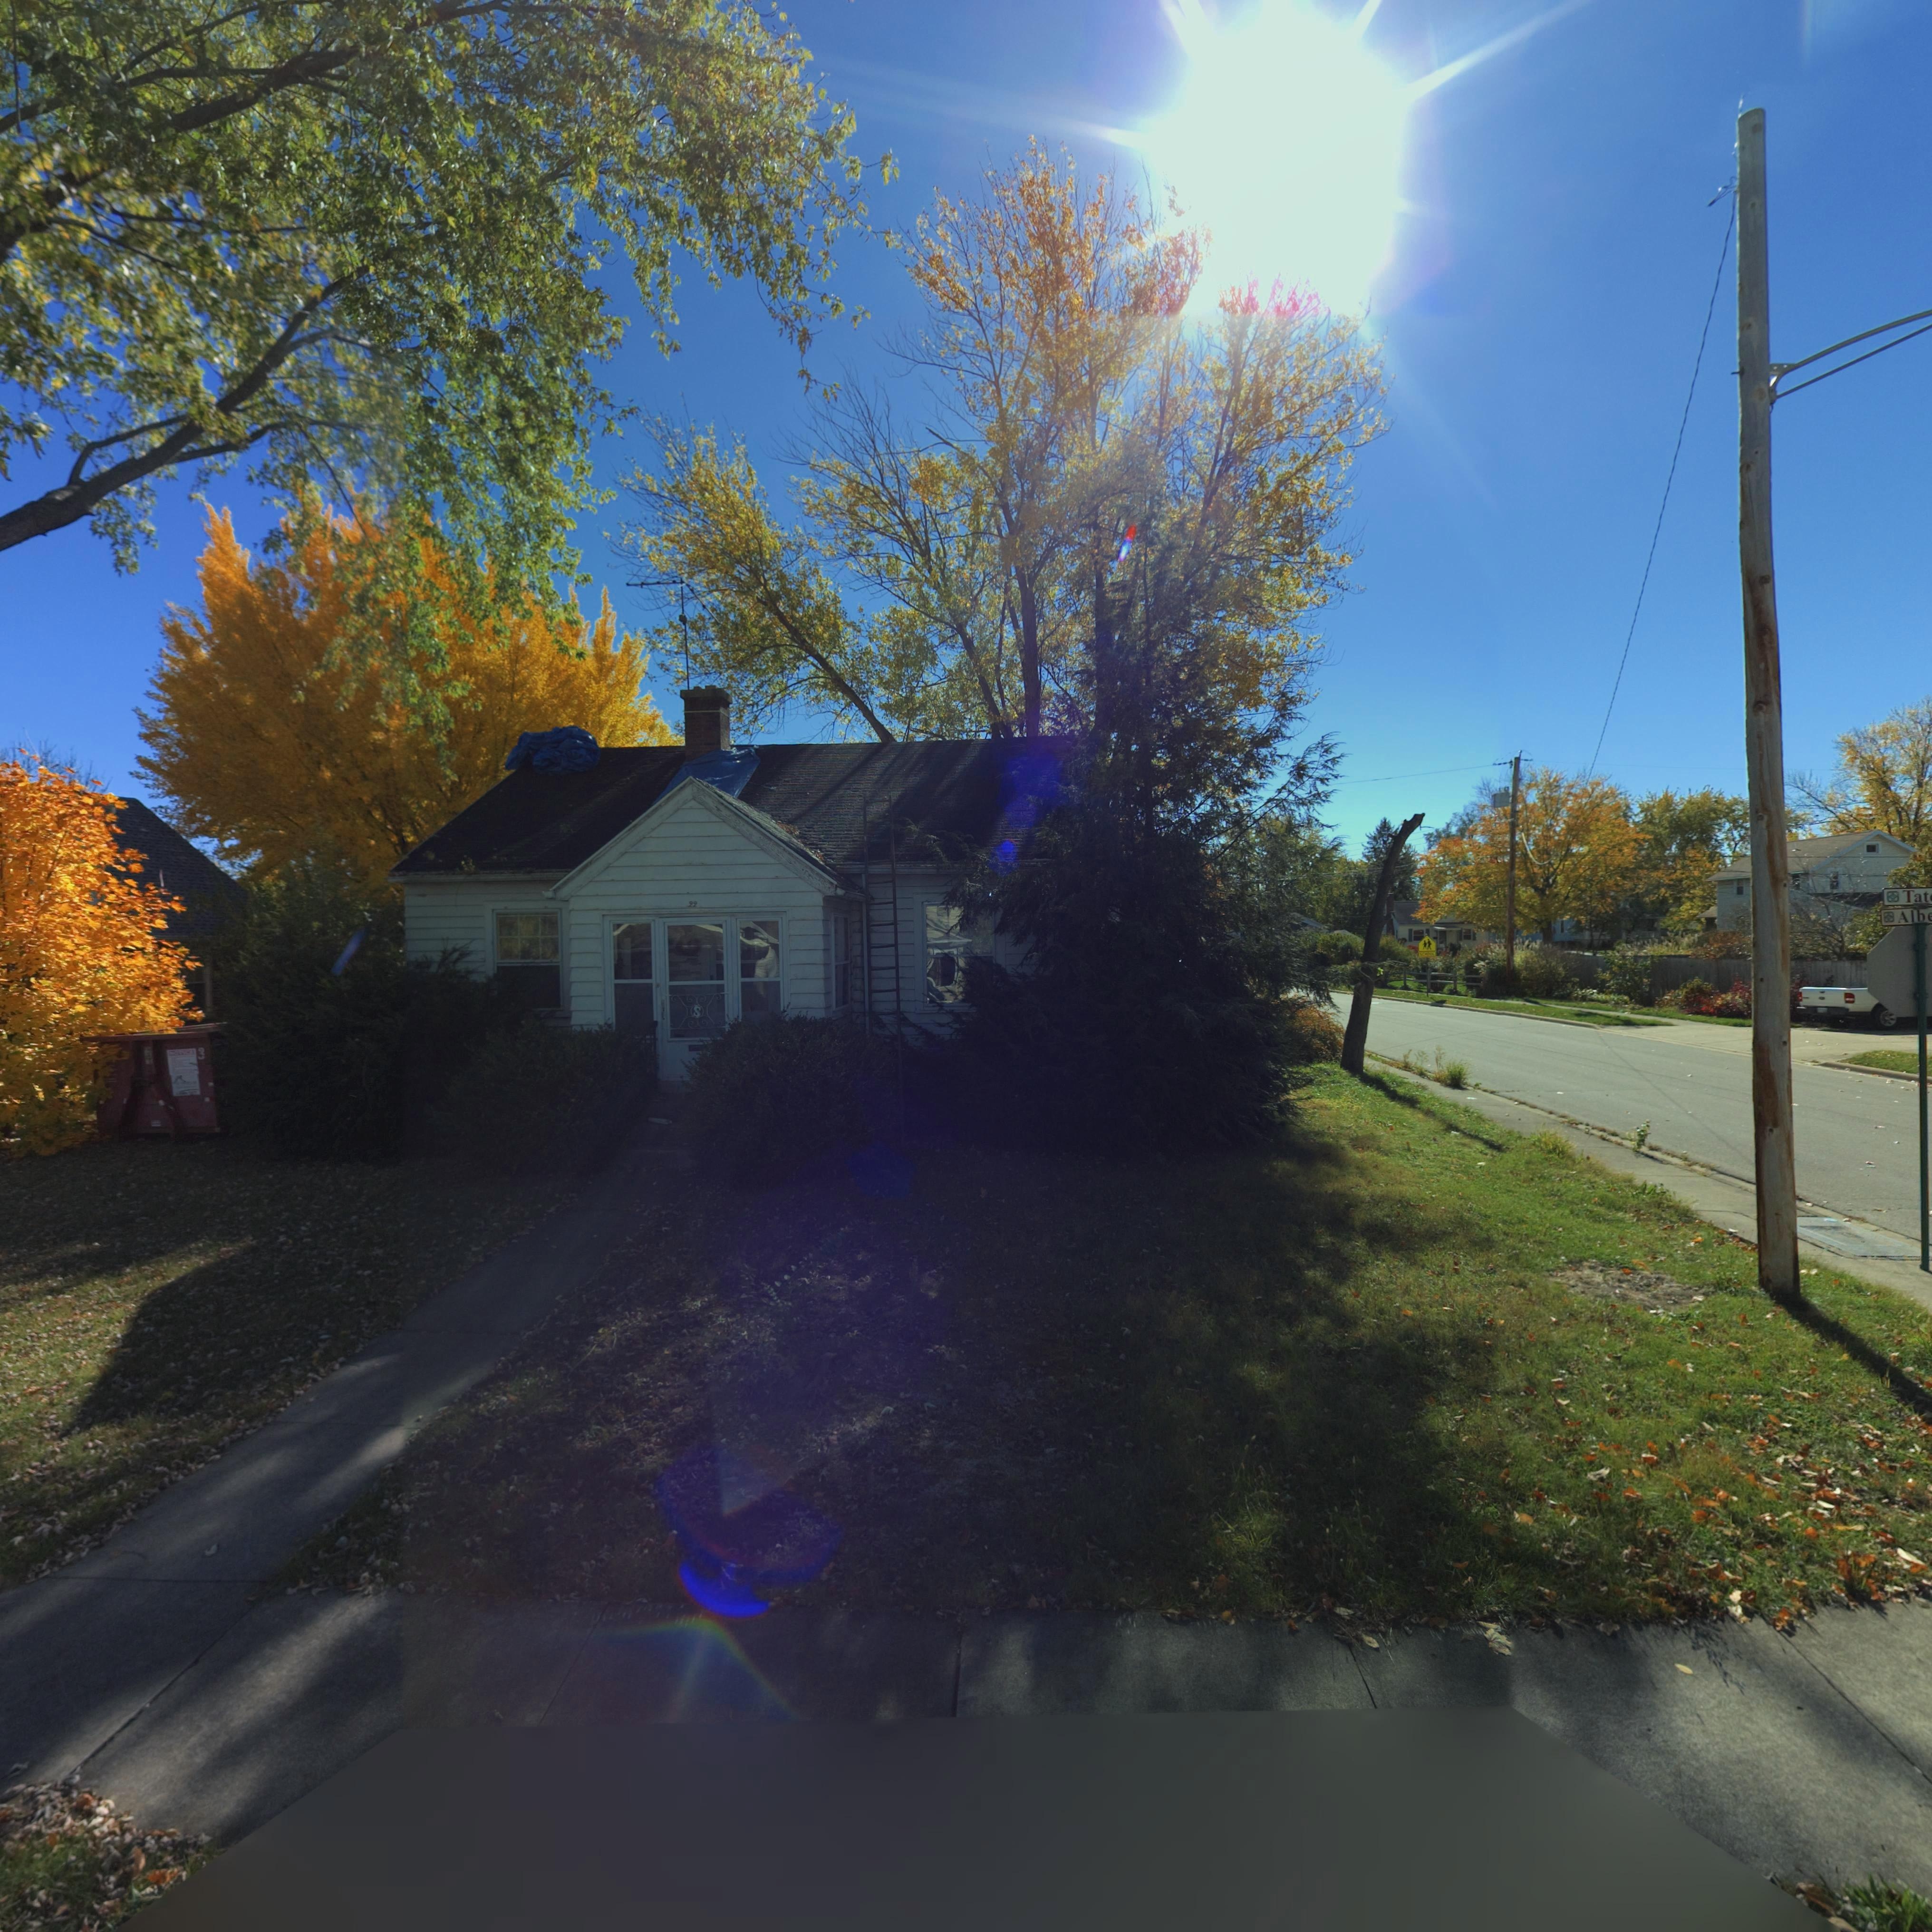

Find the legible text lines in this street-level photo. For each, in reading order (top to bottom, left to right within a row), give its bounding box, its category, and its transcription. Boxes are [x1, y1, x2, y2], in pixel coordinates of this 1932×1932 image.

[687, 900, 699, 908] StreetNumber: 99
[1901, 889, 1930, 904] StreetName: Tat
[1897, 908, 1926, 924] StreetName: Alb
[1426, 952, 1435, 956] None: OOL